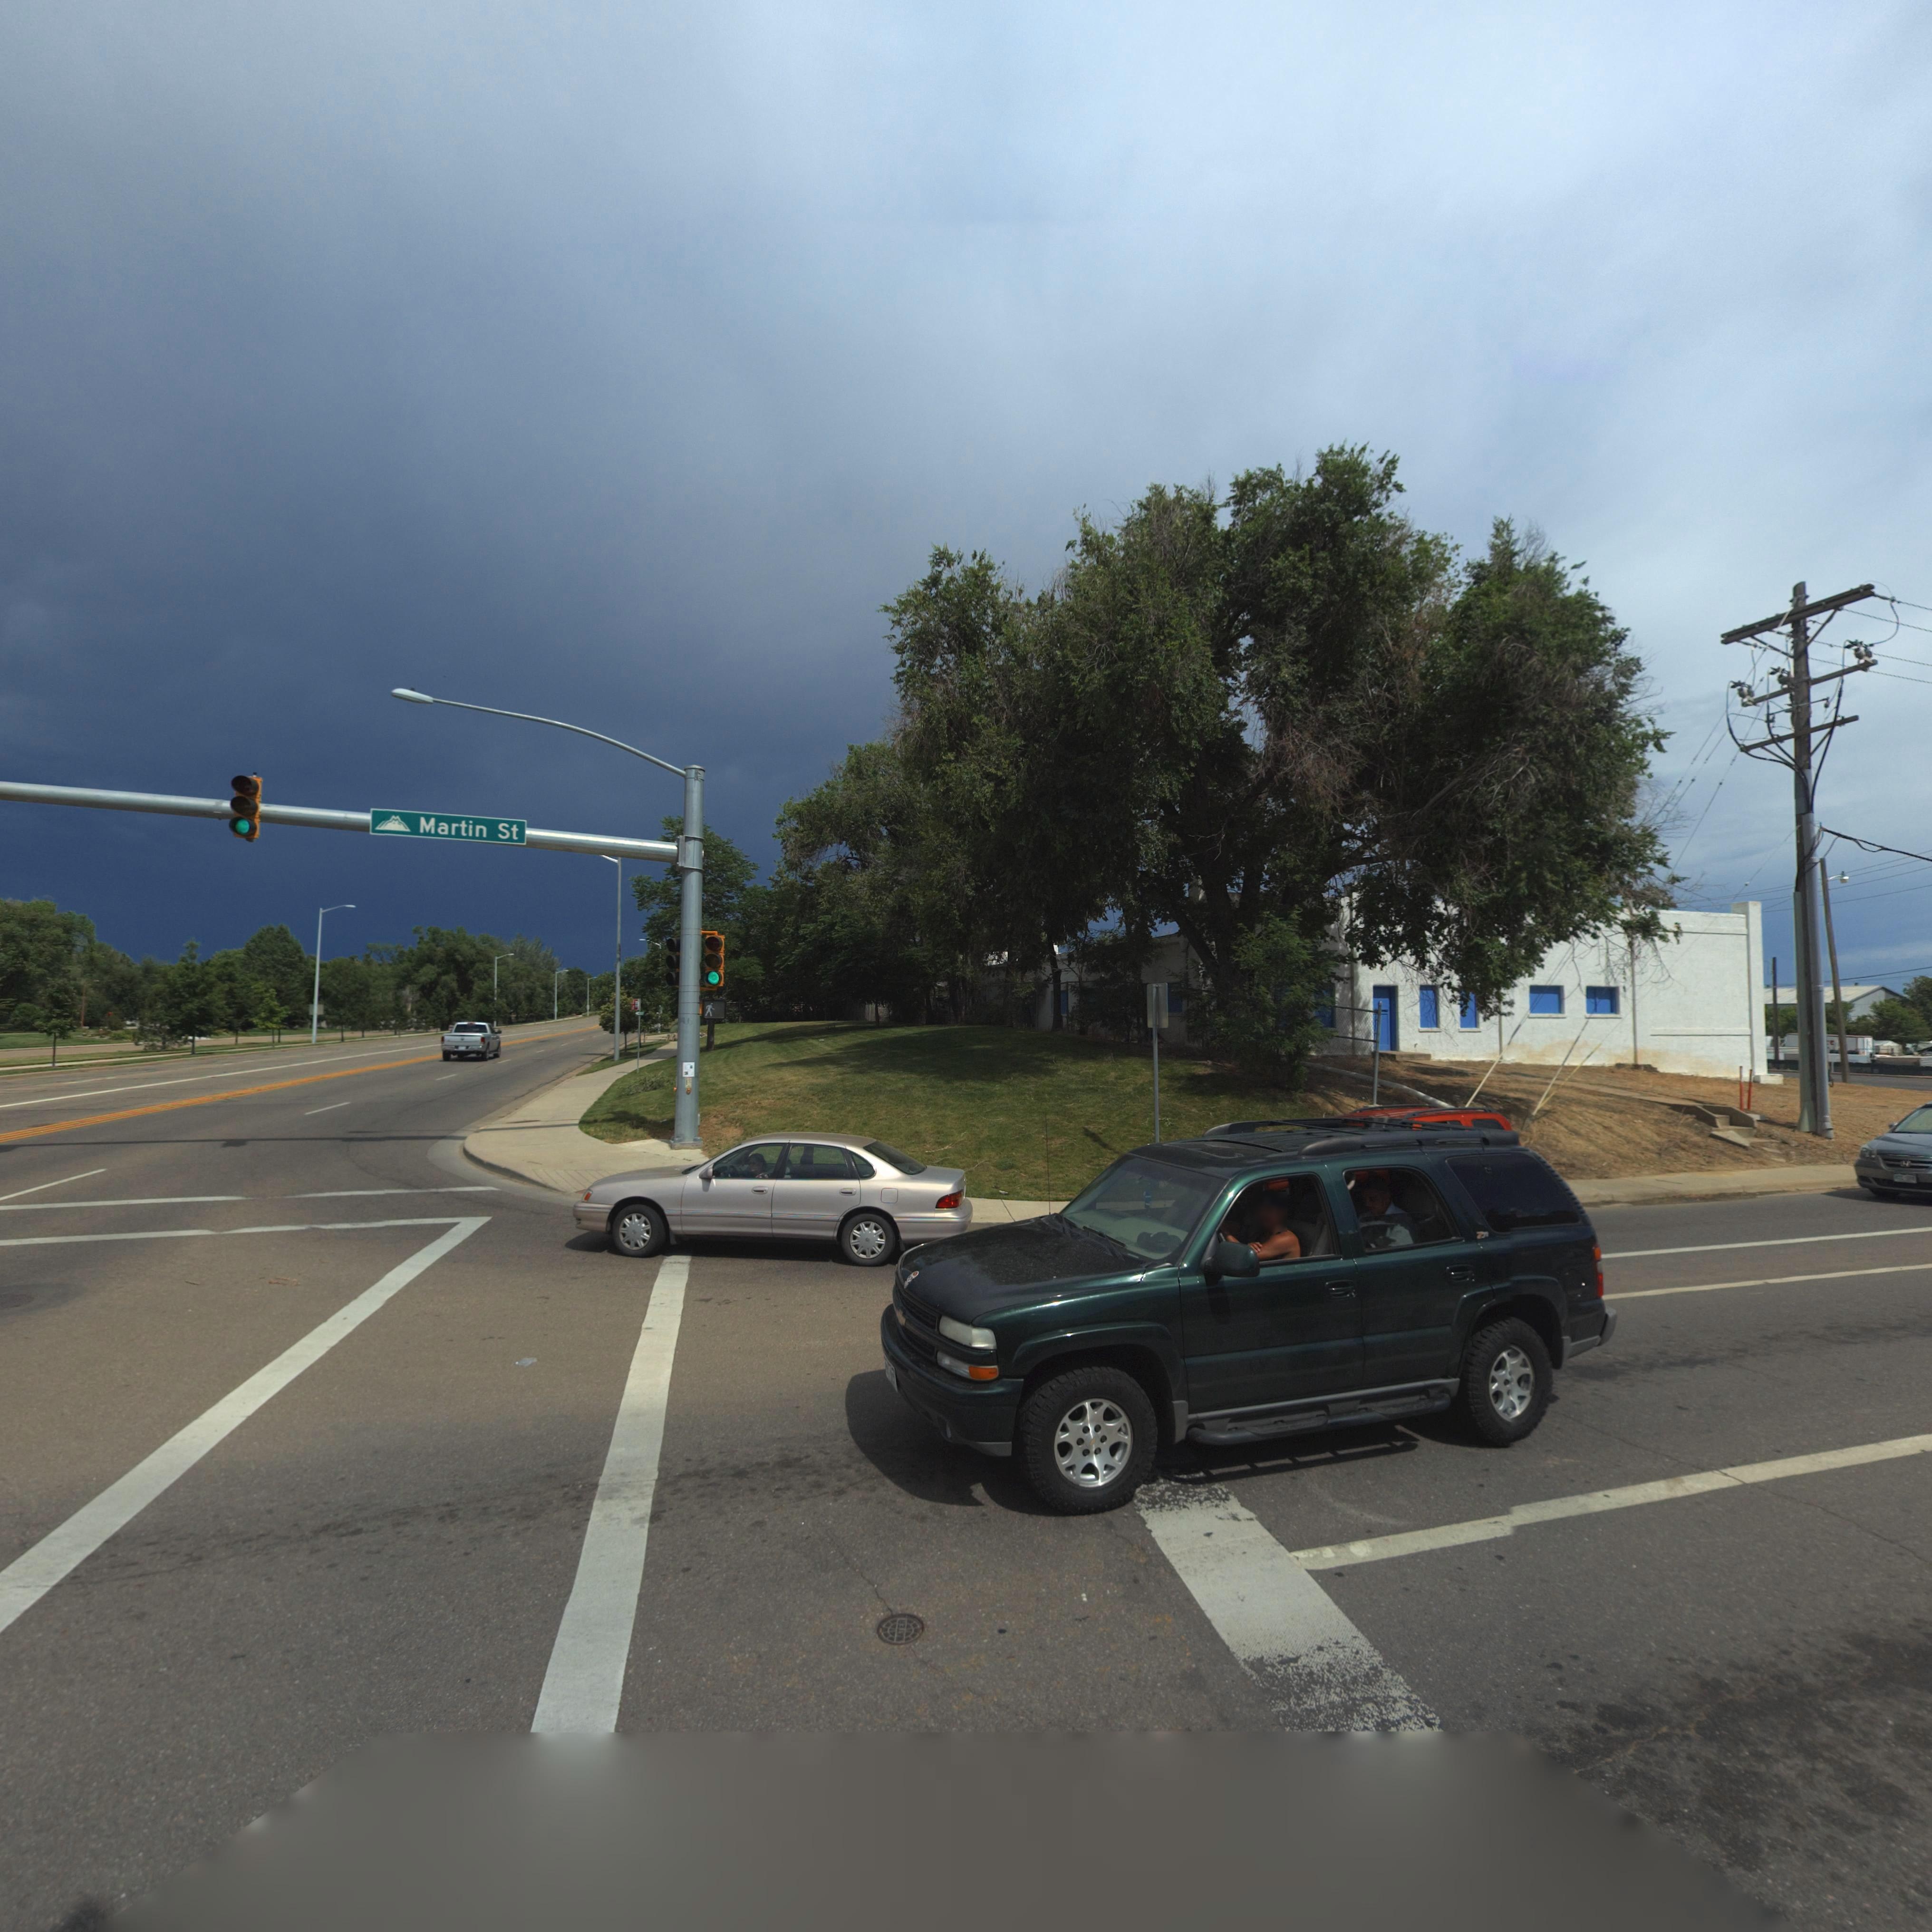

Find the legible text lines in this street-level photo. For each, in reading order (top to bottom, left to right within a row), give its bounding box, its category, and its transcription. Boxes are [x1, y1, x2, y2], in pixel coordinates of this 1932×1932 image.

[419, 817, 519, 840] StreetName: Martin St